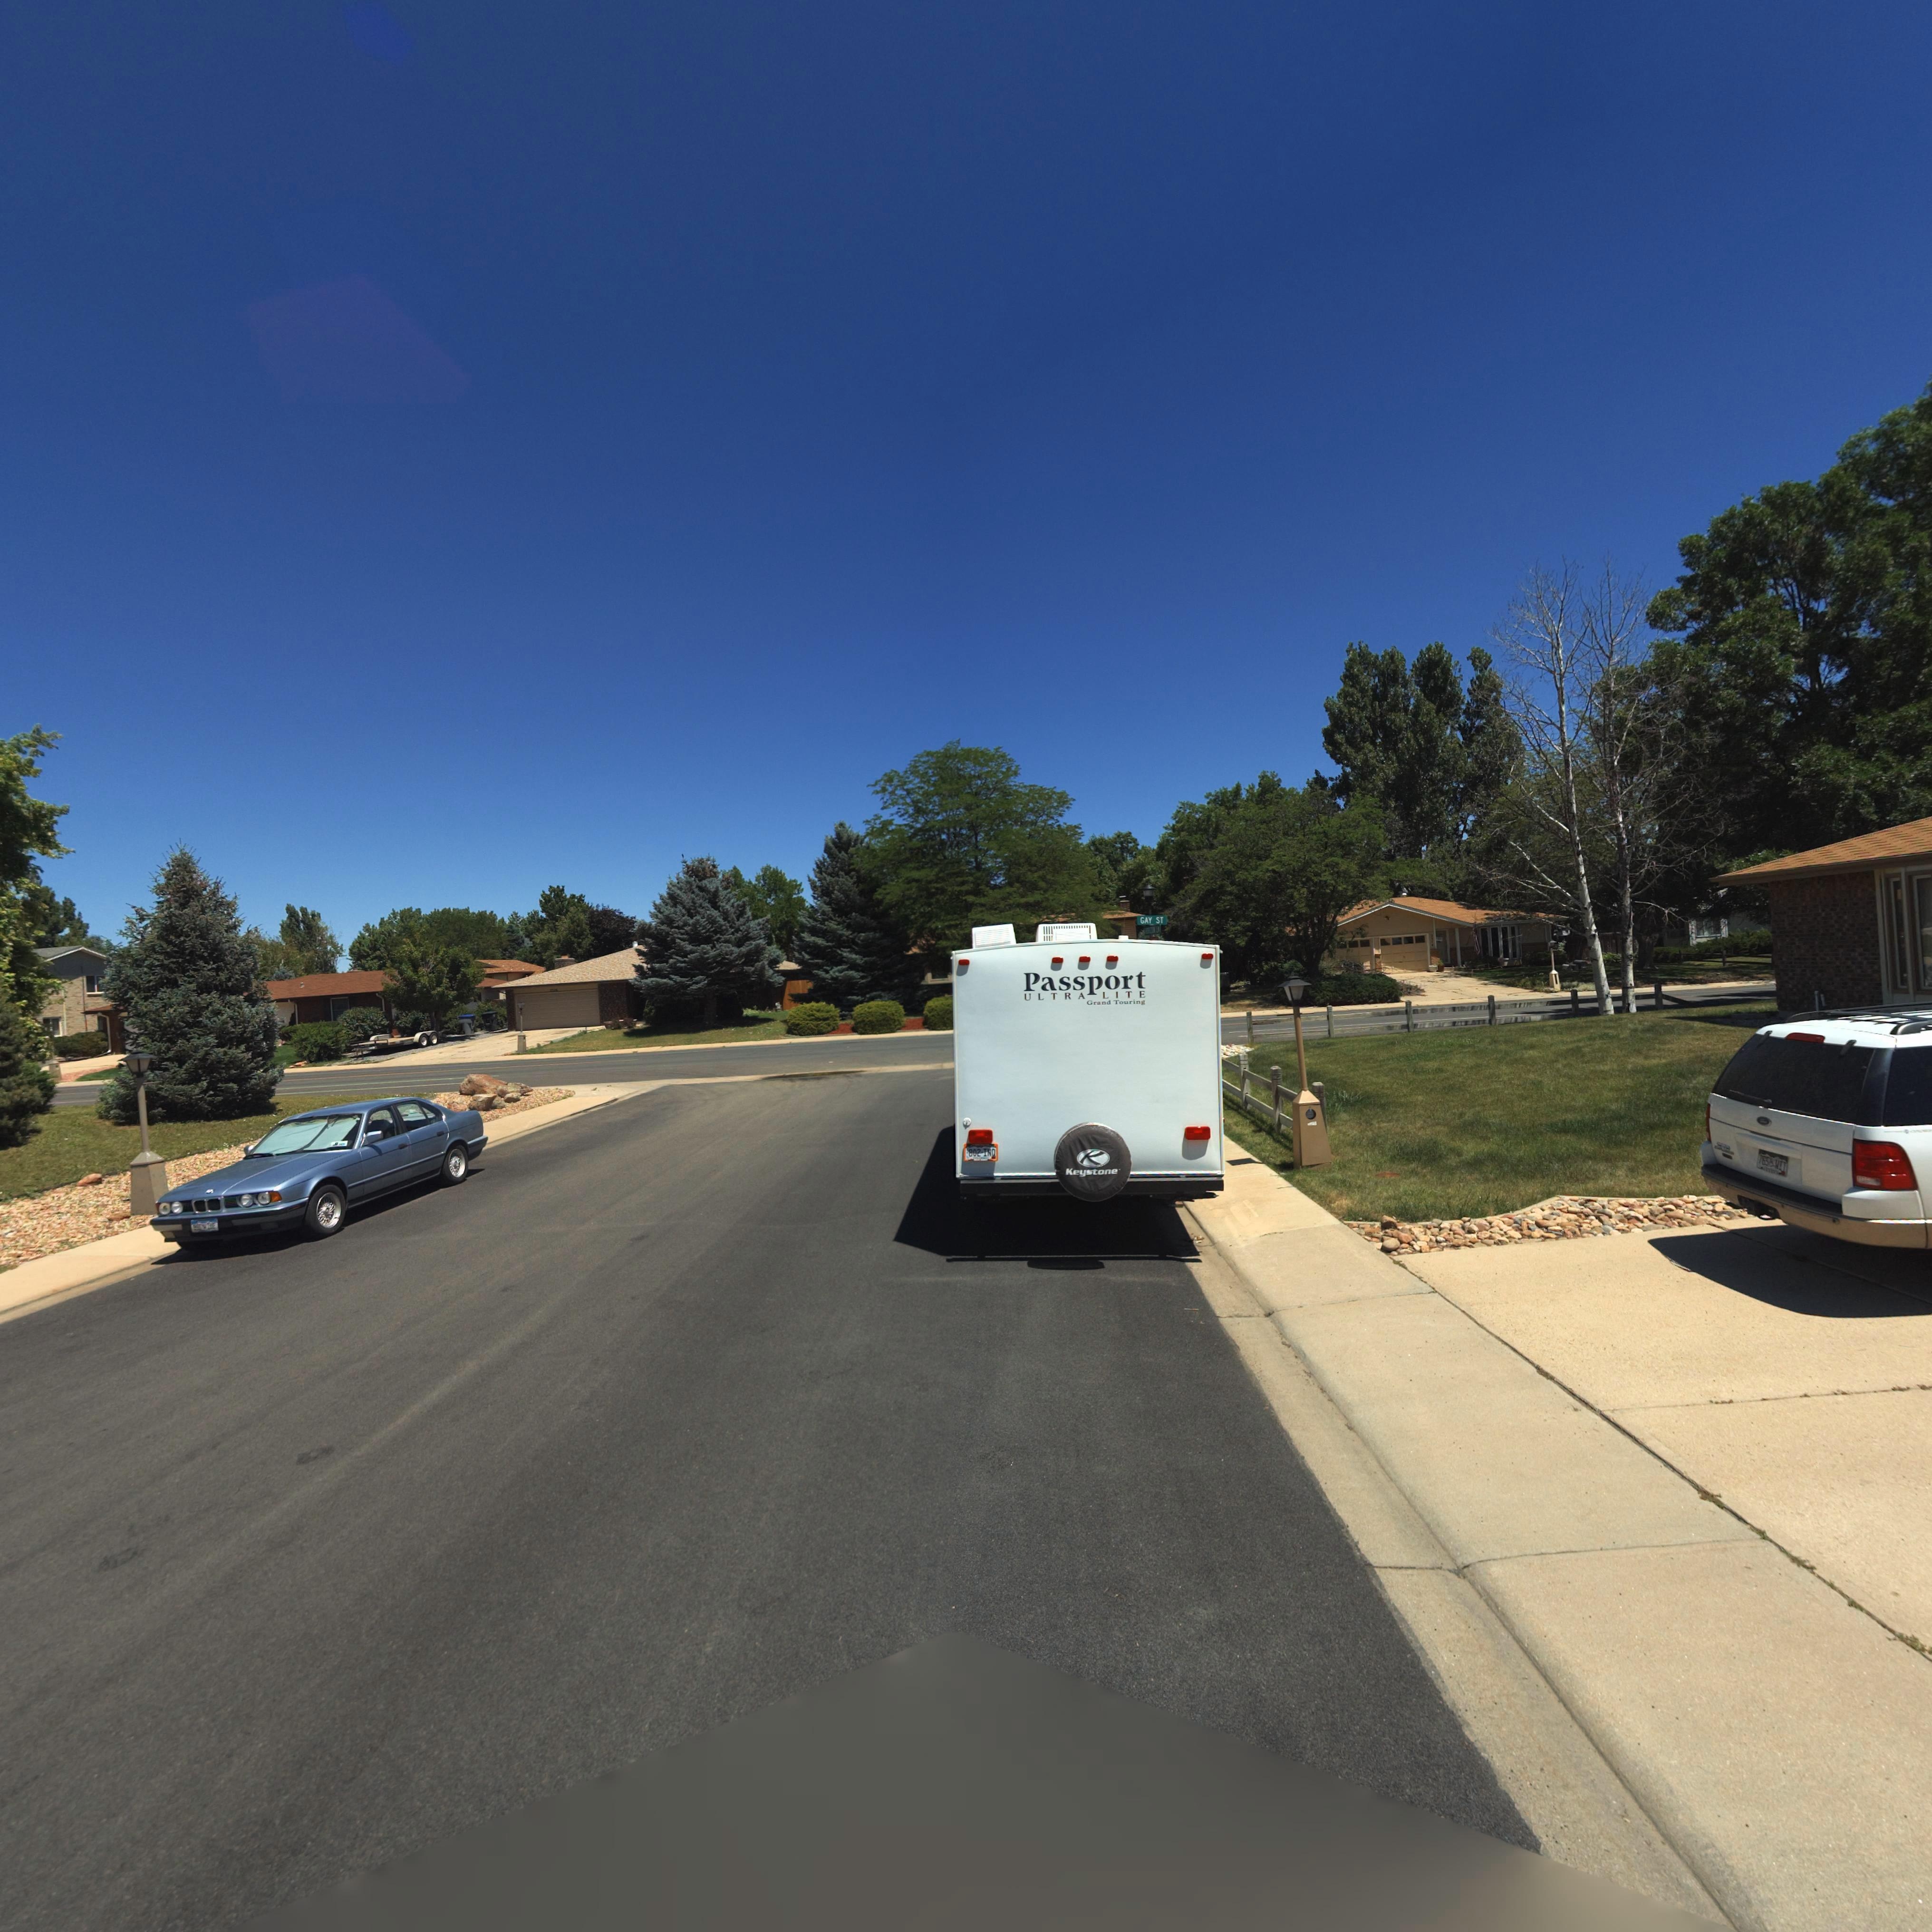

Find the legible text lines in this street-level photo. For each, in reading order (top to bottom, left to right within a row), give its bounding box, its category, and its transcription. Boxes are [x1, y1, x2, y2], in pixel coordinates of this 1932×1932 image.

[1140, 917, 1163, 924] StreetName: GAY ST
[1155, 926, 1160, 932] StreetName: LN